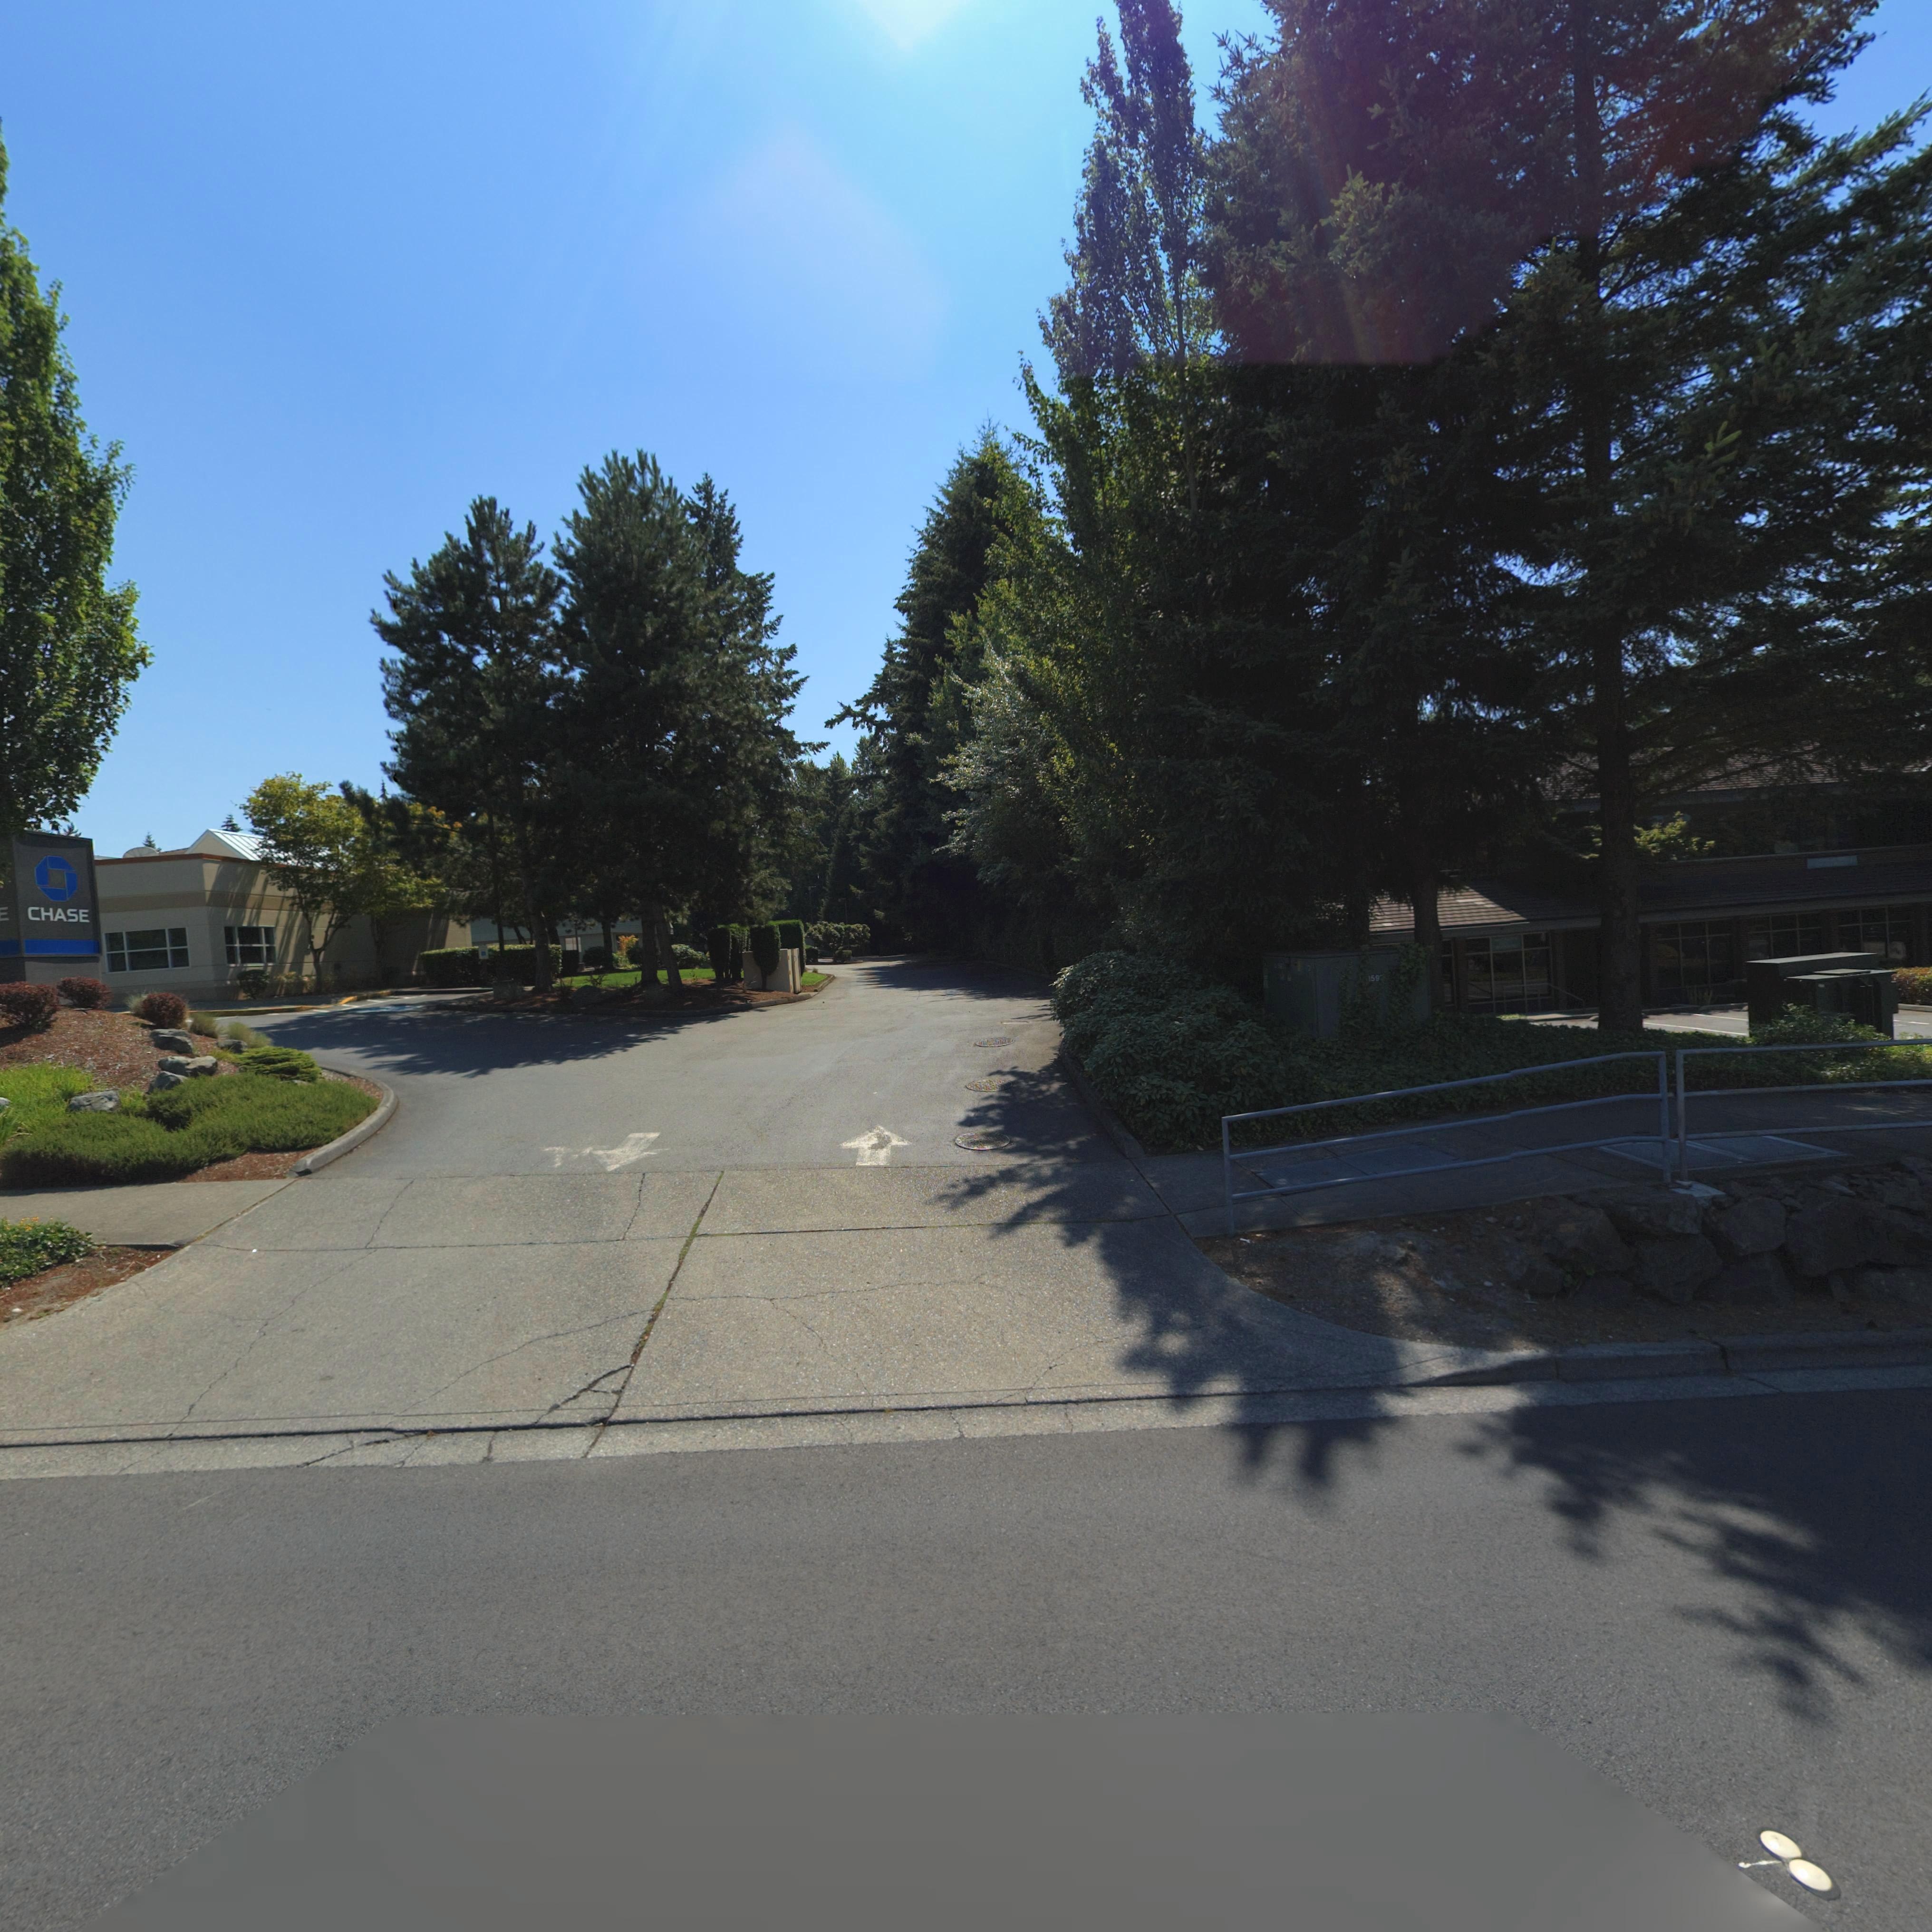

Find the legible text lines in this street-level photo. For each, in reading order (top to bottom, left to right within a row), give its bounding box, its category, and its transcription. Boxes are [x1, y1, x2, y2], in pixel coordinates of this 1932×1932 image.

[29, 907, 89, 922] BusinessName: CHASE